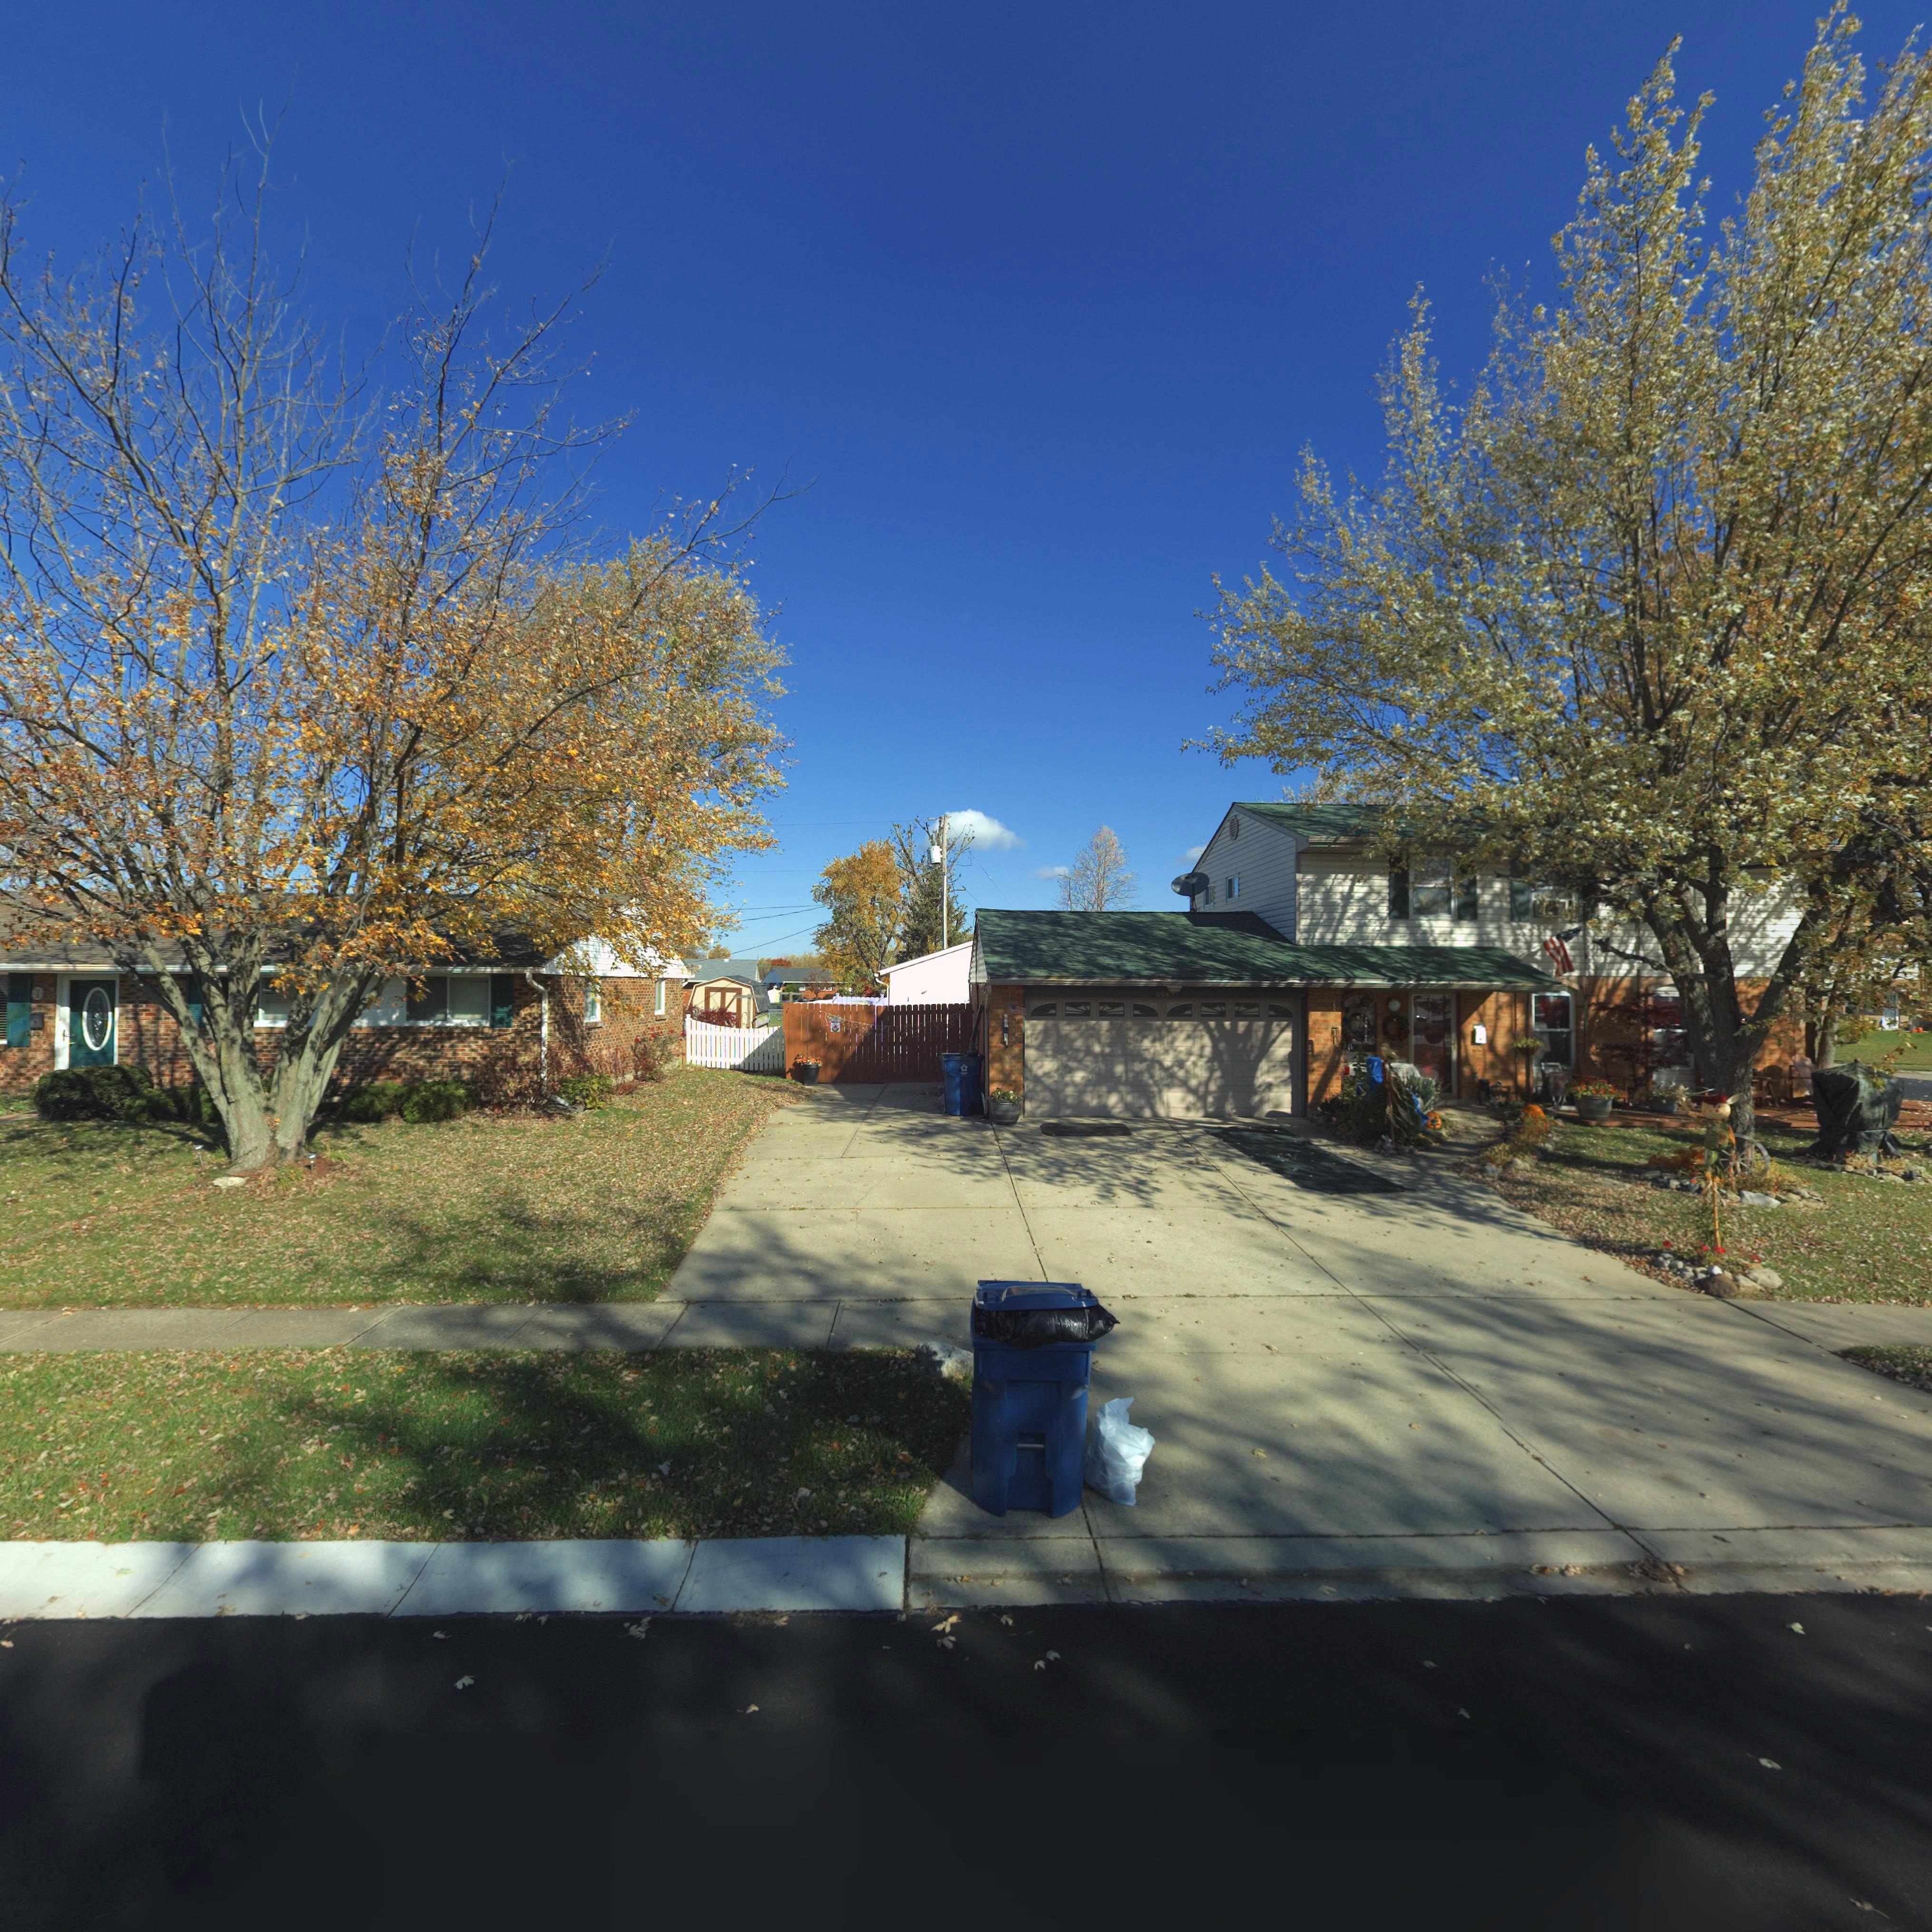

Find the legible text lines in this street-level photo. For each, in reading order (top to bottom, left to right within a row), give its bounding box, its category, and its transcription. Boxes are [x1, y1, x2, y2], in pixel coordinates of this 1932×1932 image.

[1156, 991, 1175, 998] StreetNumber: 6989